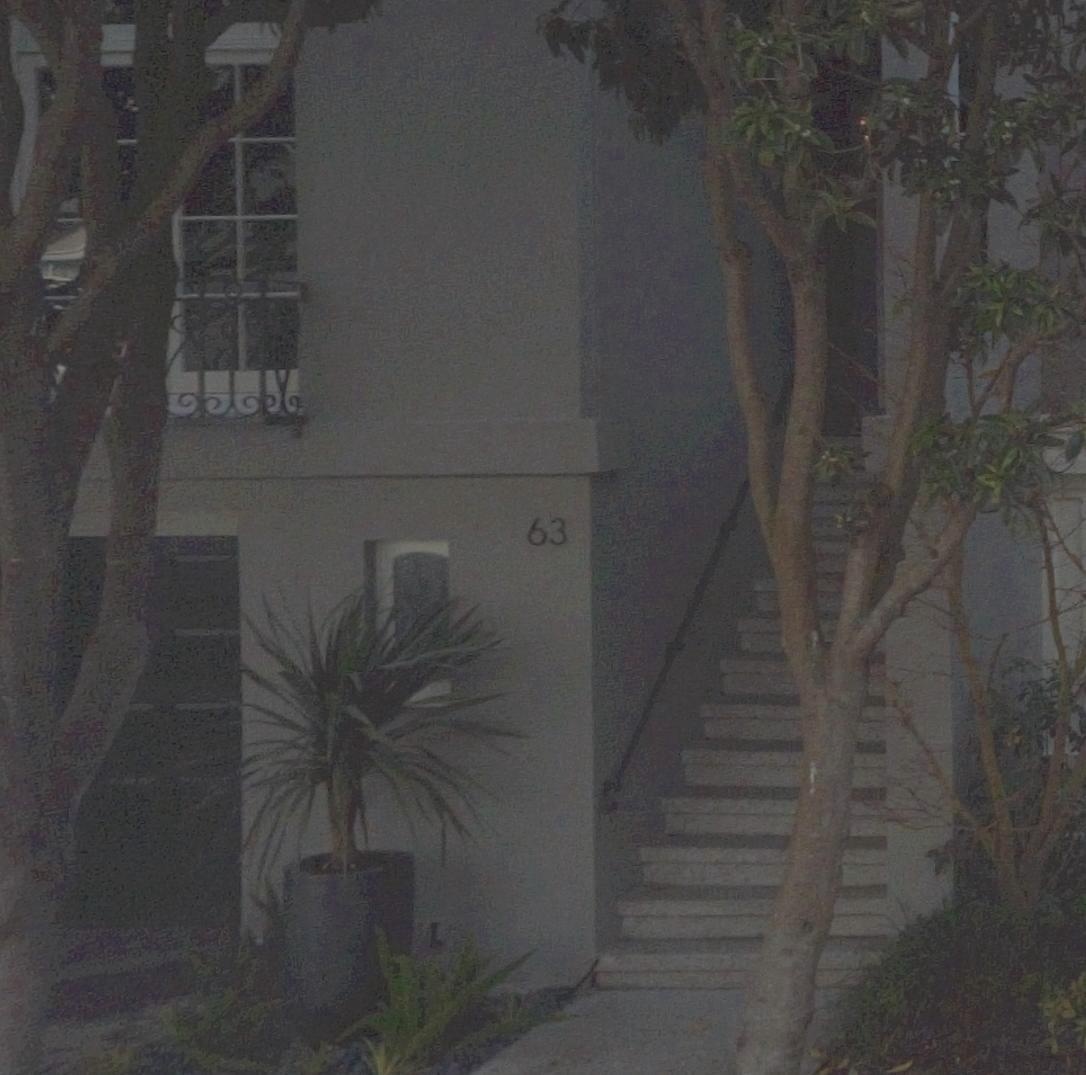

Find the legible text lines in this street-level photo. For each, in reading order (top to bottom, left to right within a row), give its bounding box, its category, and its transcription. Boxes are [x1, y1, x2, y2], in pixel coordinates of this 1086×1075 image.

[526, 516, 567, 547] StreetNumber: 63